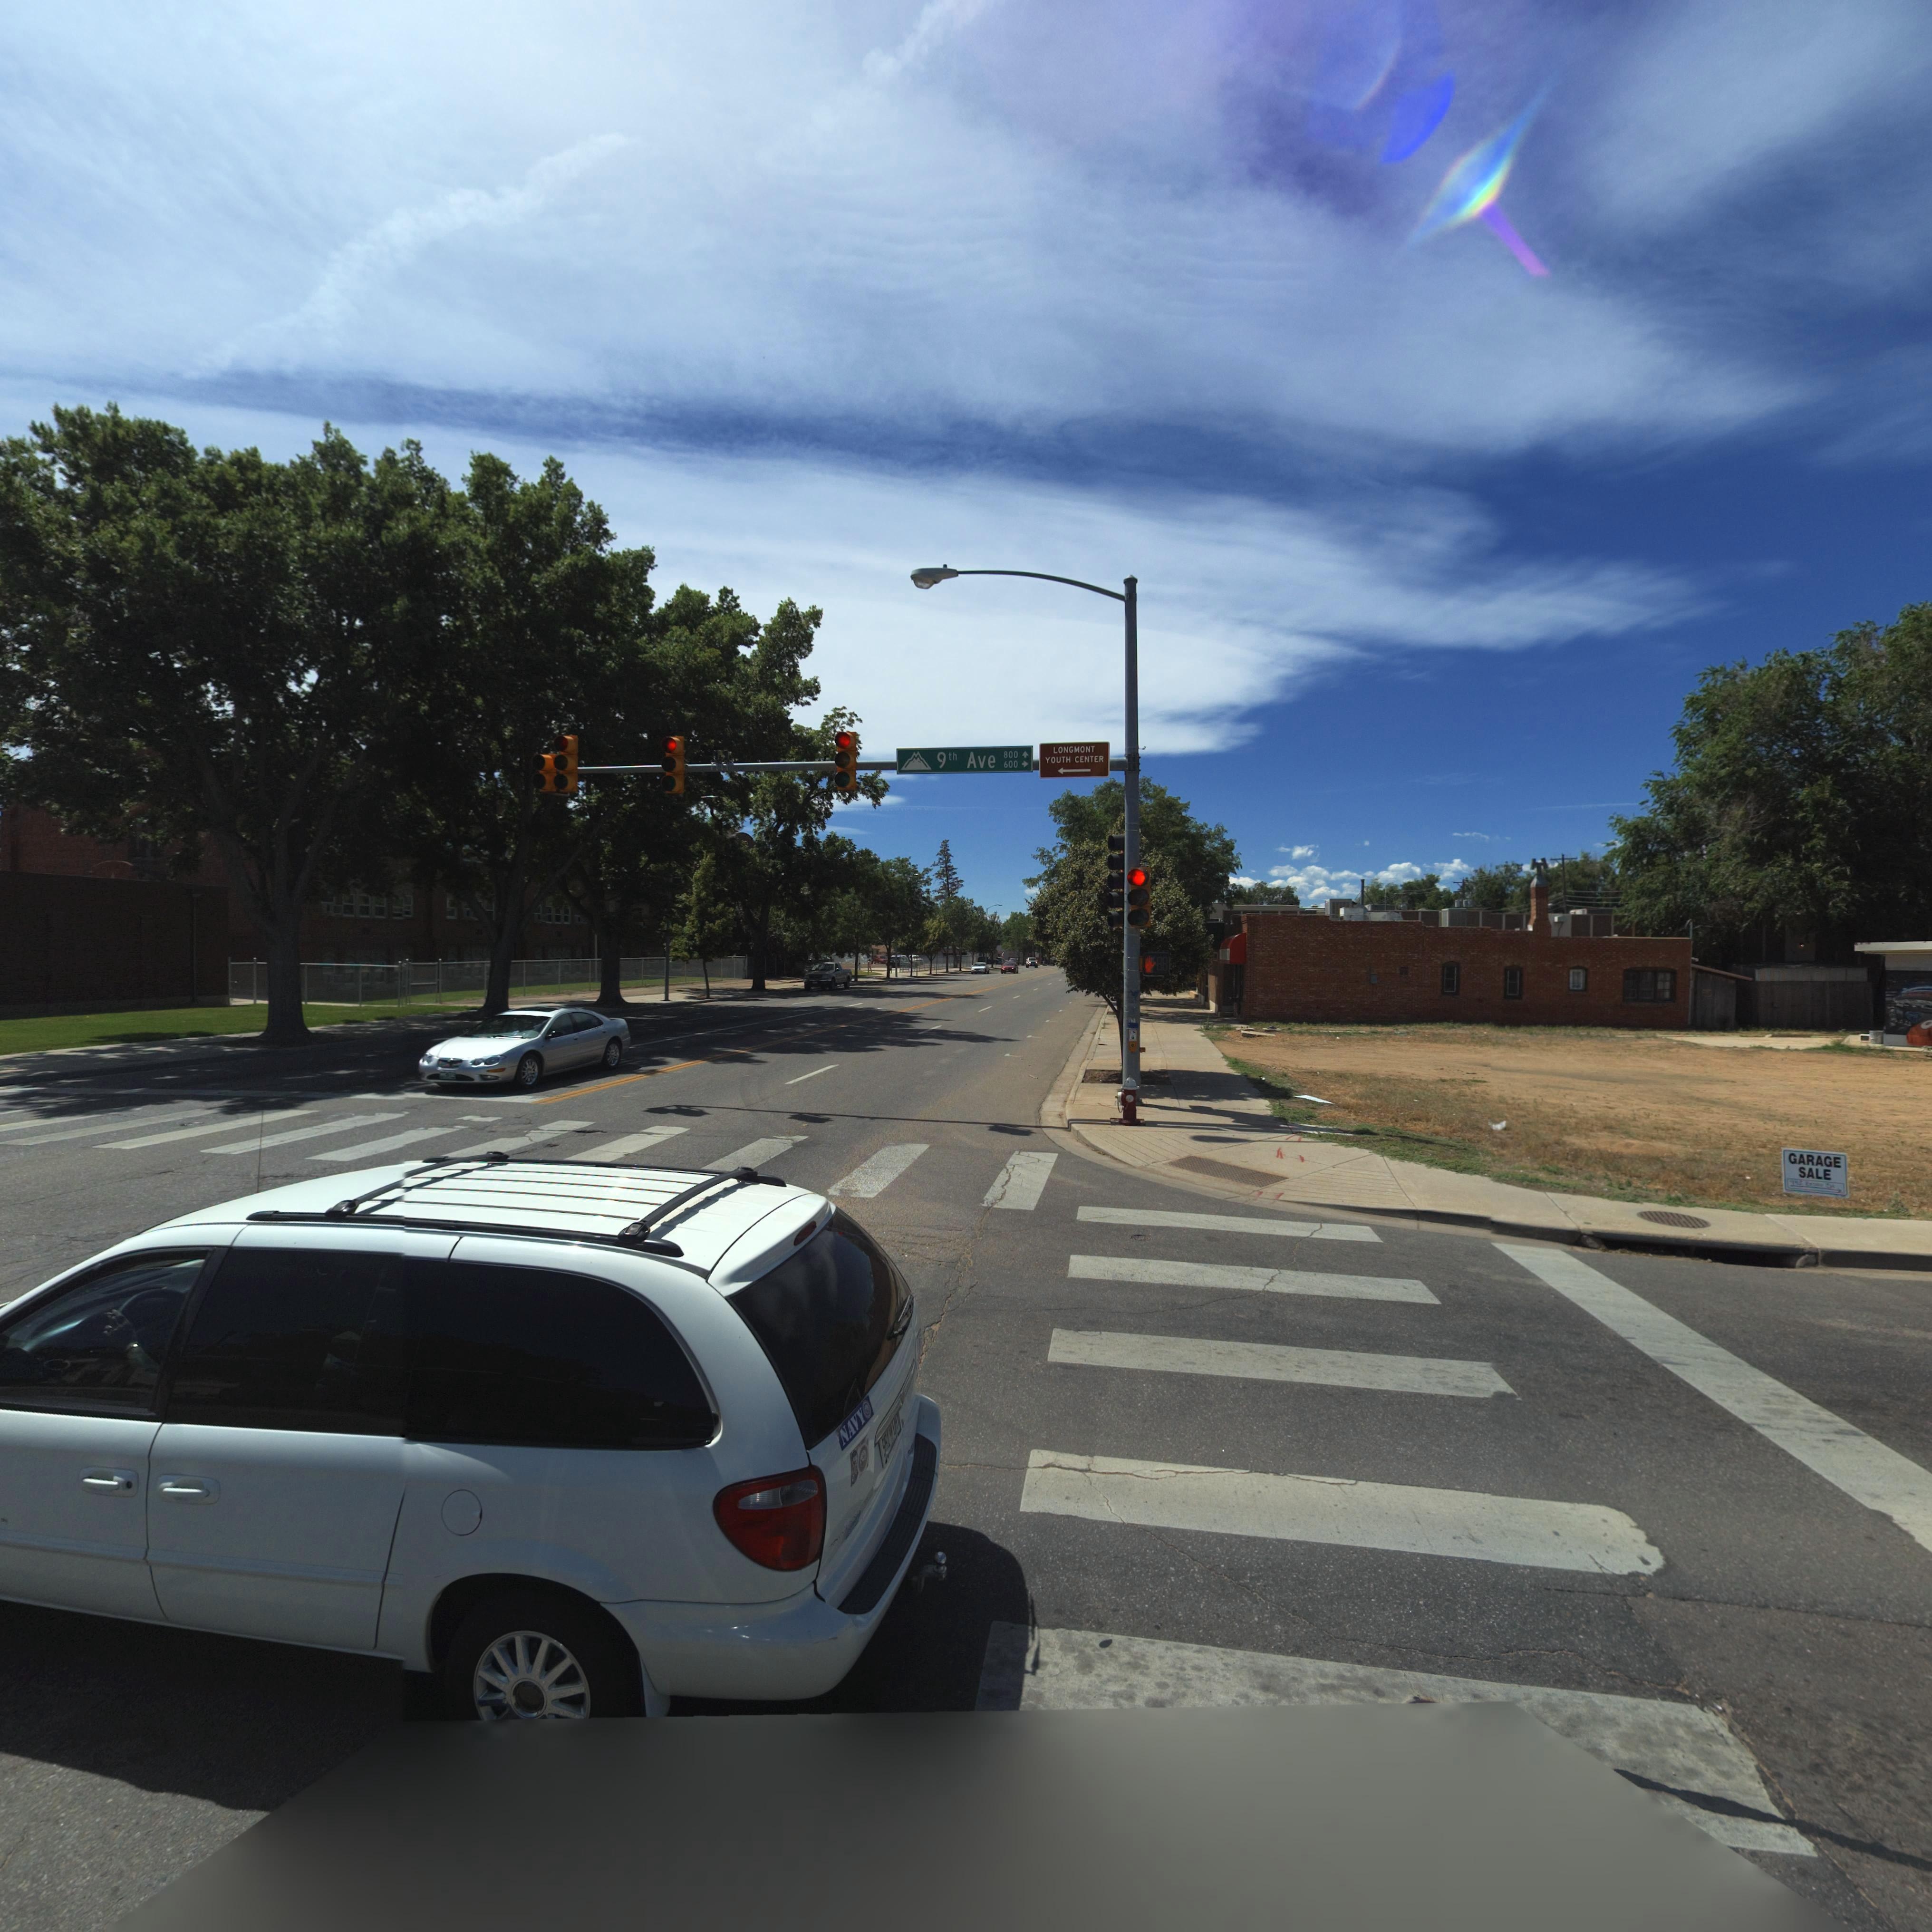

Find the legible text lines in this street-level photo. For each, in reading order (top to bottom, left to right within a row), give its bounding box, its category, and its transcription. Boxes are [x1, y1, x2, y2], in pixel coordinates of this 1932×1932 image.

[1003, 750, 1018, 758] StreetNumberRange: 800
[936, 751, 996, 769] StreetName: 9th Ave
[1003, 760, 1029, 768] StreetNumberRange: 600->